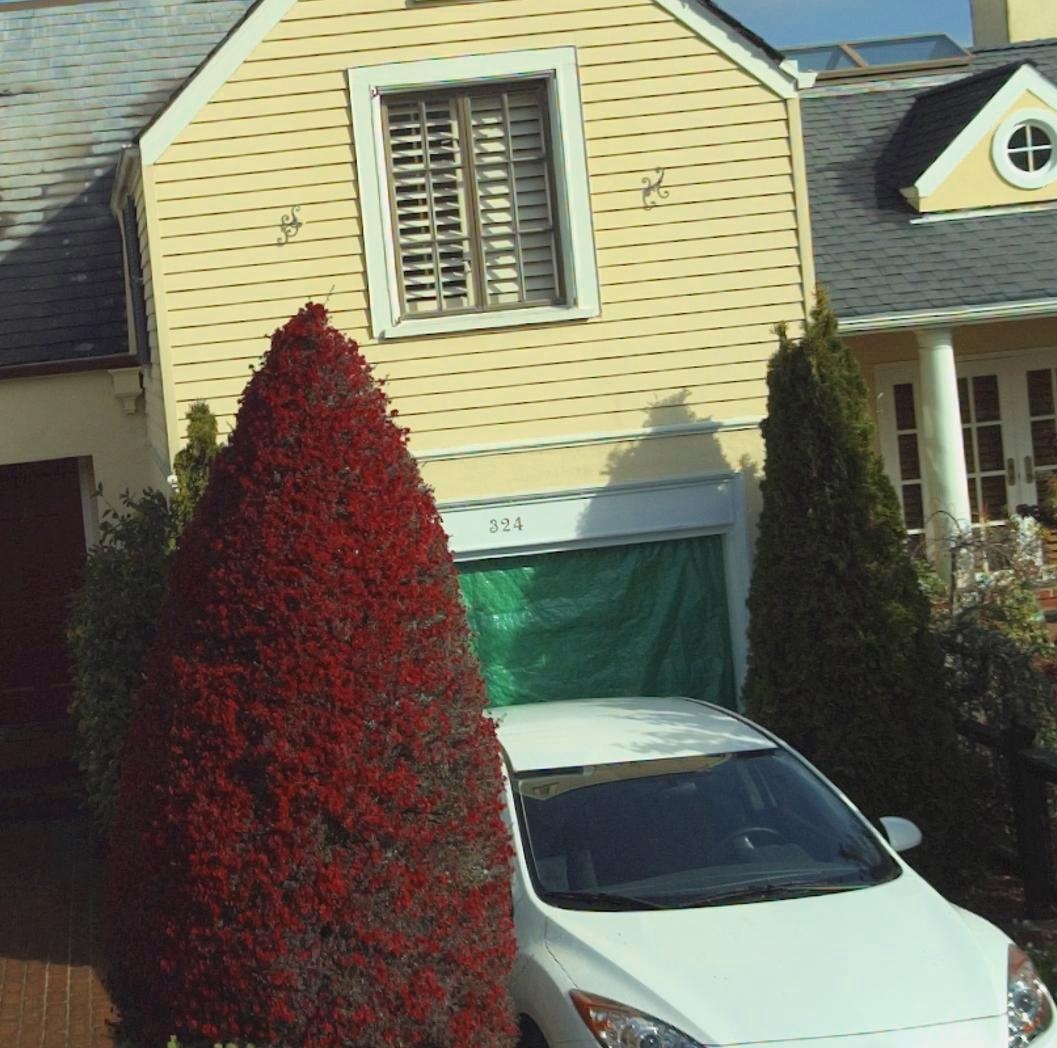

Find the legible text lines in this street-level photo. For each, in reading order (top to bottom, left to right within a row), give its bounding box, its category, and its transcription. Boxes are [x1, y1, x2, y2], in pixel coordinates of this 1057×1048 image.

[487, 514, 525, 535] StreetNumber: 324